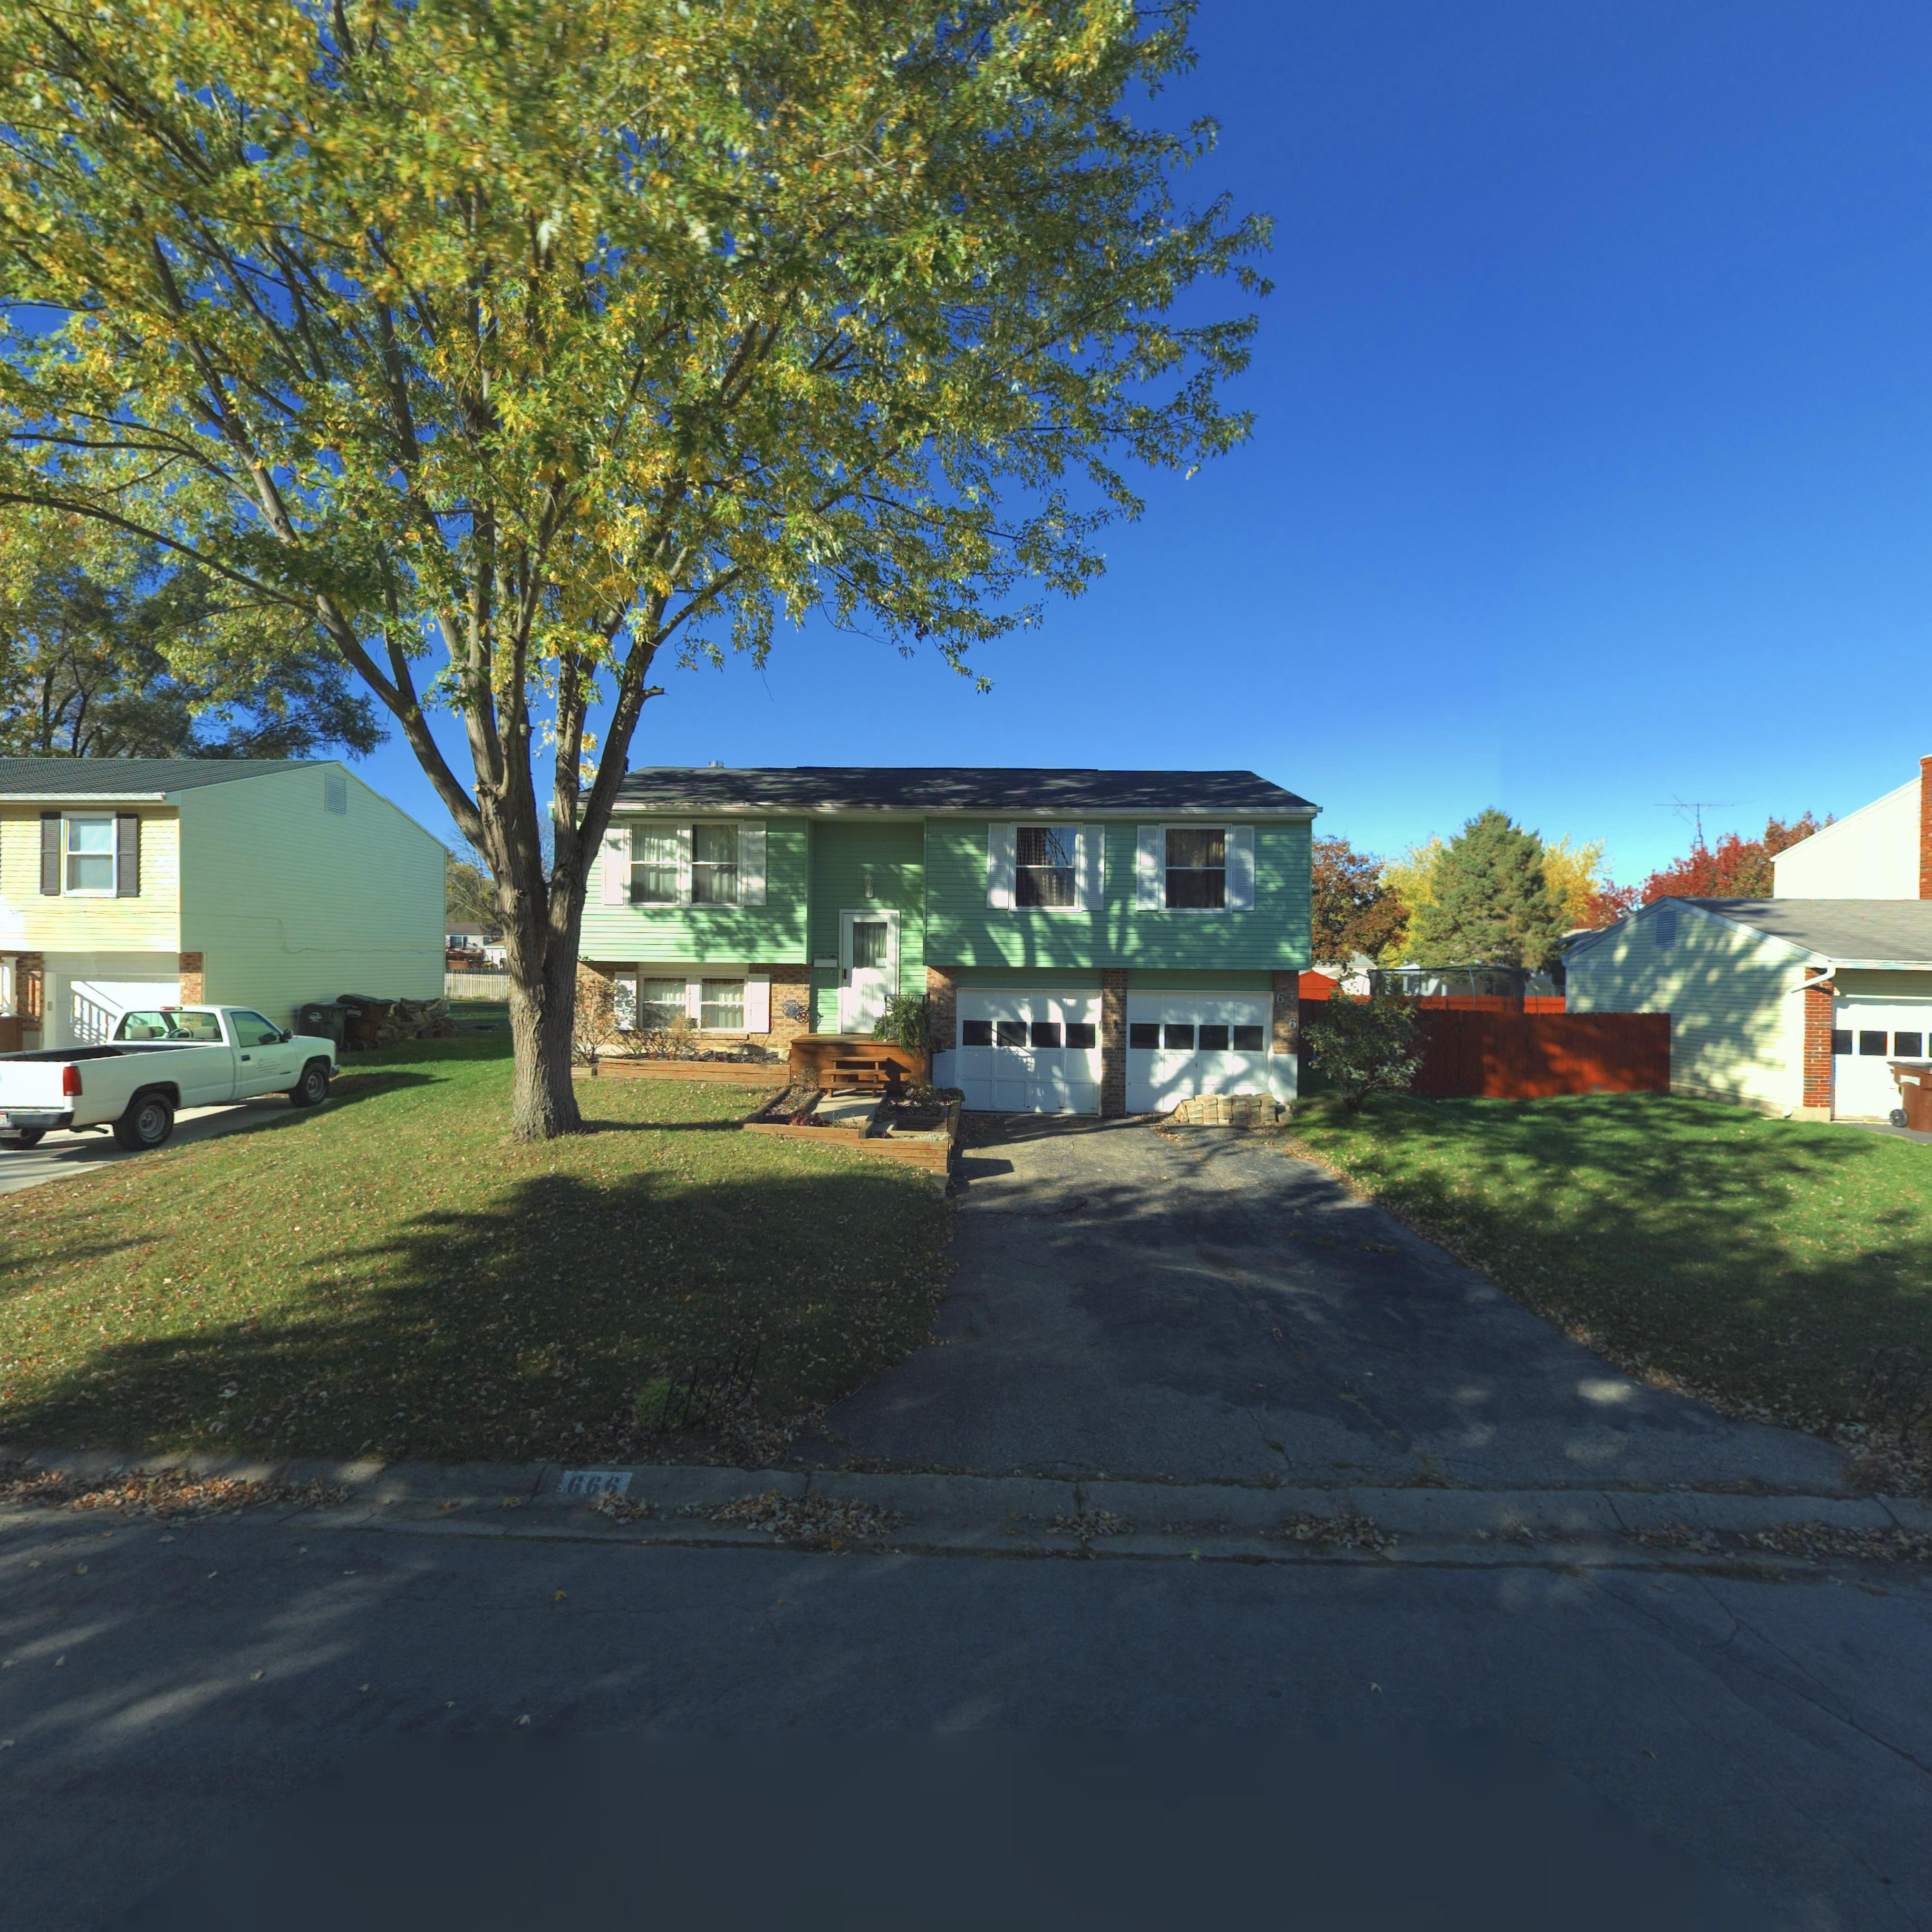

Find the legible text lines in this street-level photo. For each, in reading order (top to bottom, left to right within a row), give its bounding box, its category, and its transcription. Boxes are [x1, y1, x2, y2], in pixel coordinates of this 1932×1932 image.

[1276, 992, 1297, 1030] StreetNumber: 6*6
[567, 1474, 621, 1496] StreetNumber: 666